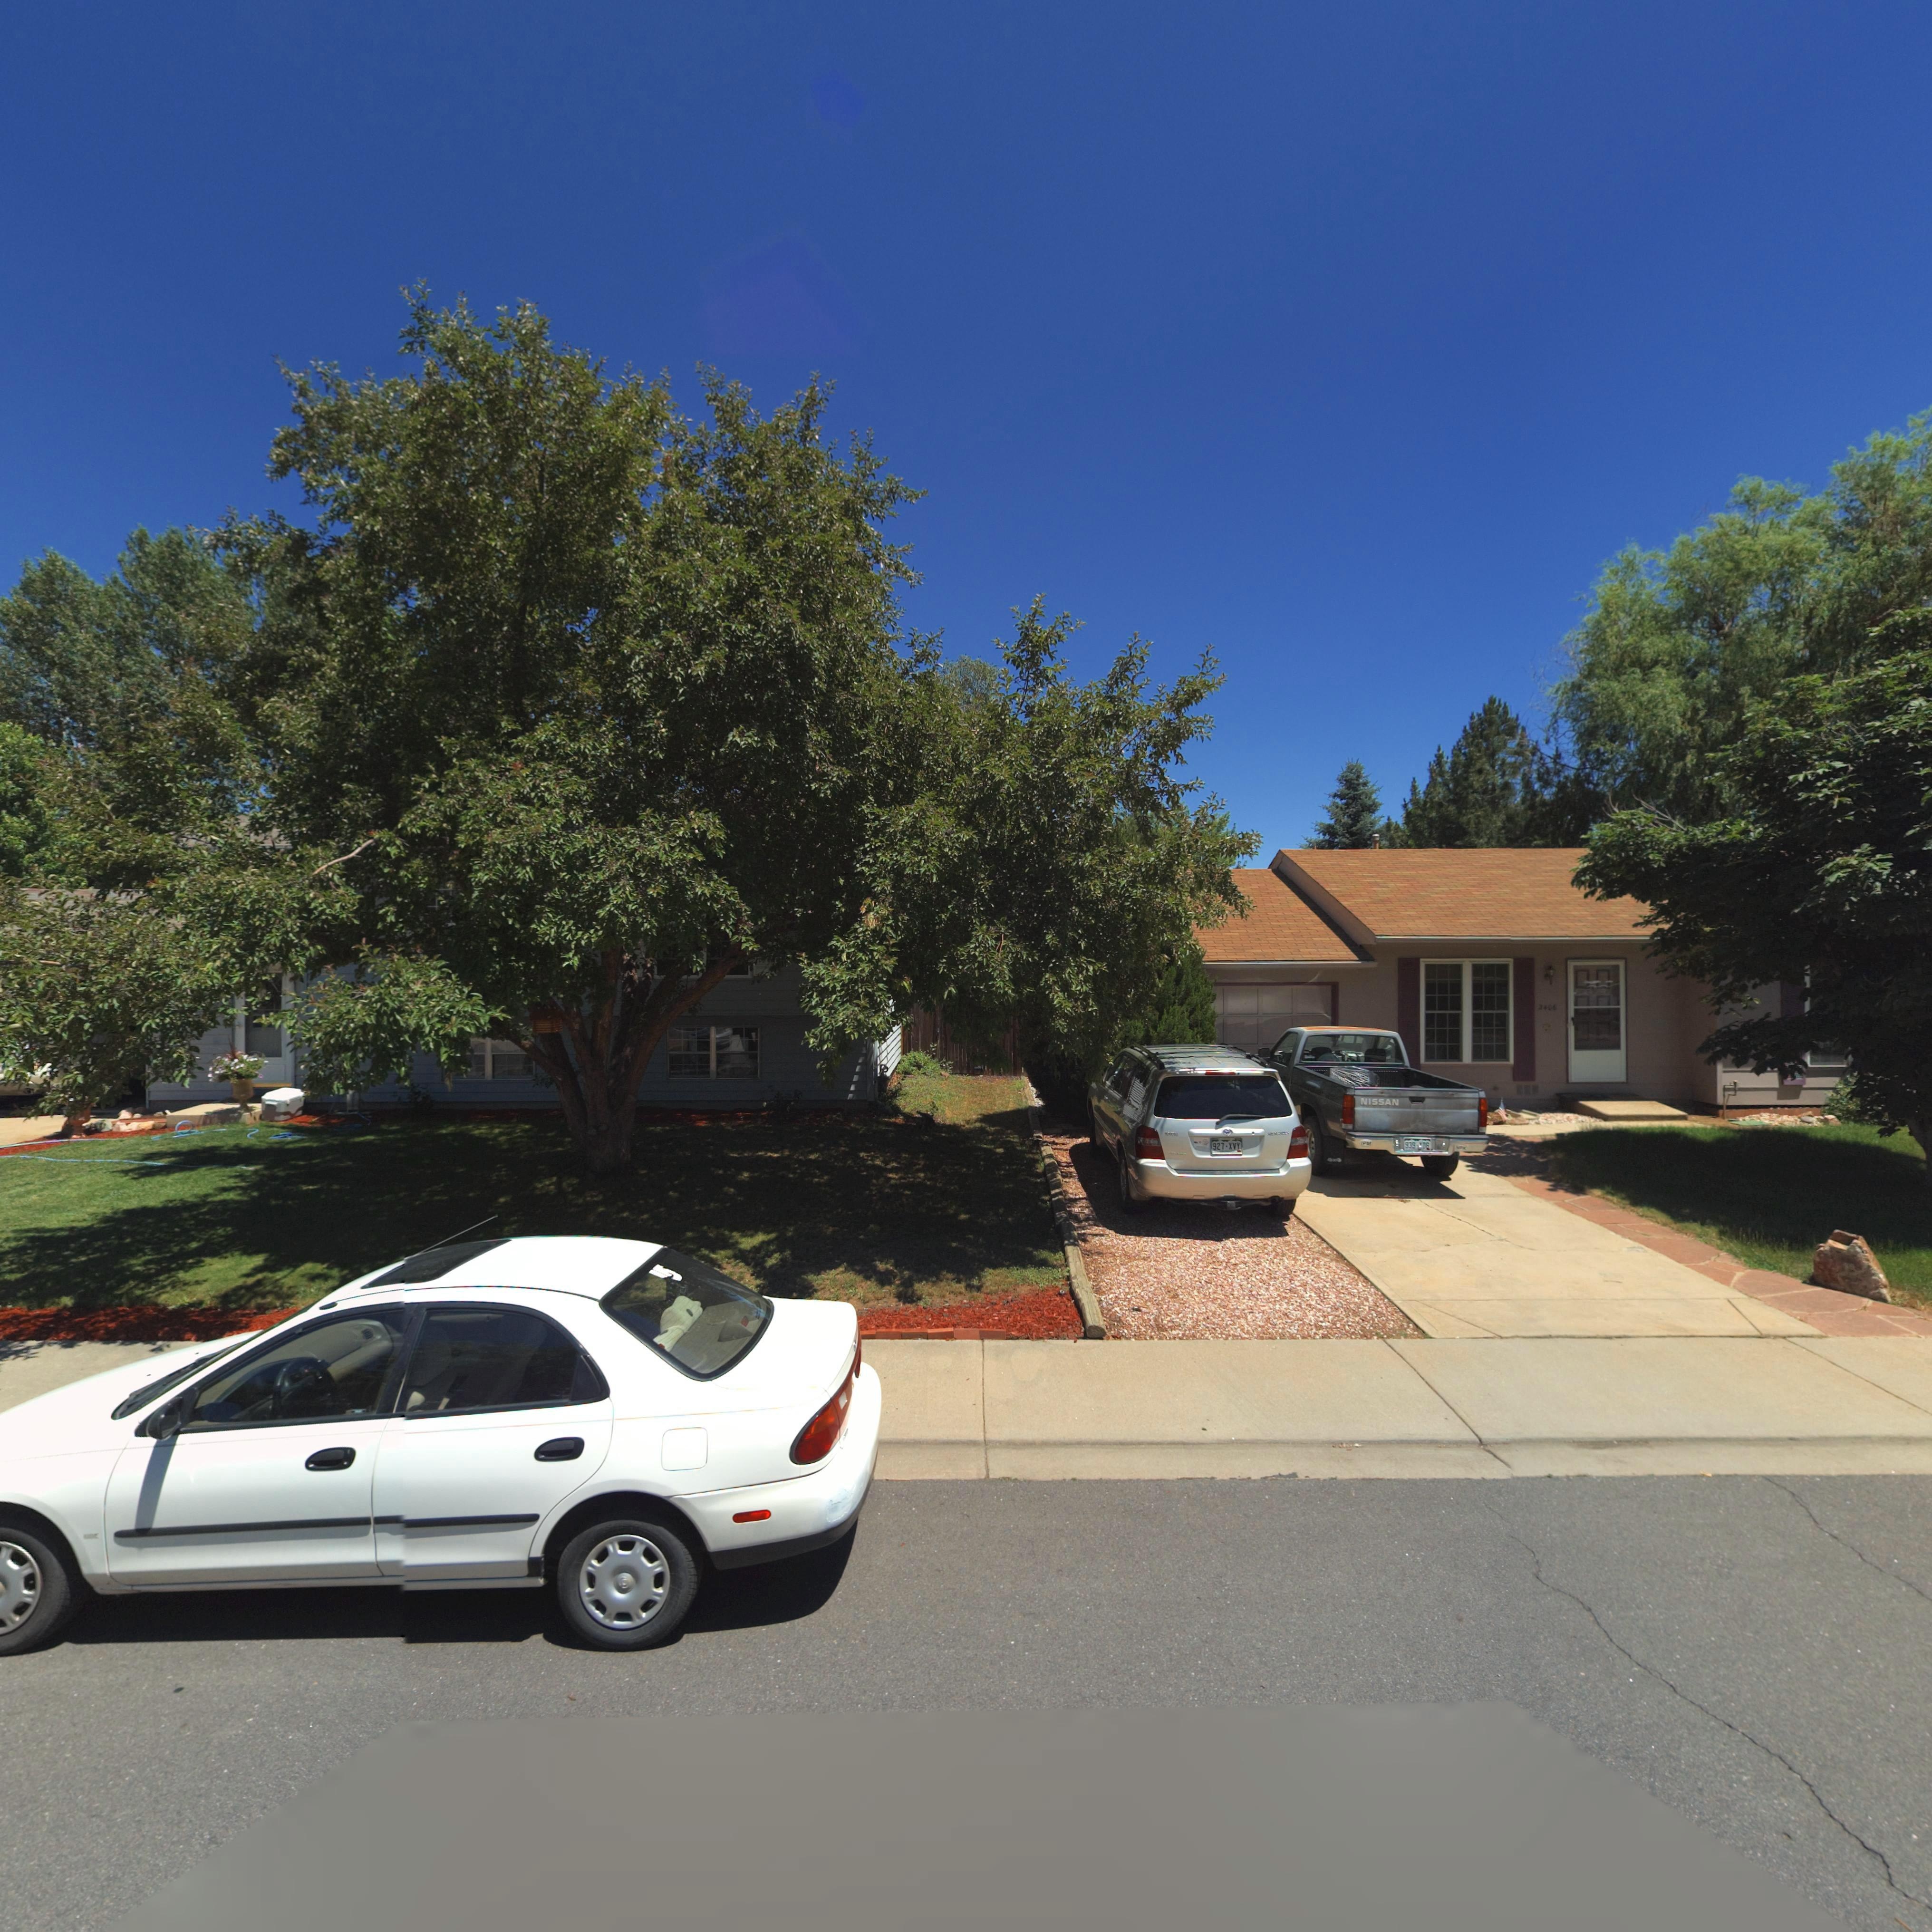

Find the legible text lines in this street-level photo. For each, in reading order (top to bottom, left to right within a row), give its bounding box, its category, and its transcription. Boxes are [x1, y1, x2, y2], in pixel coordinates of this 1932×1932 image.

[1539, 1004, 1556, 1011] StreetNumber: 2406